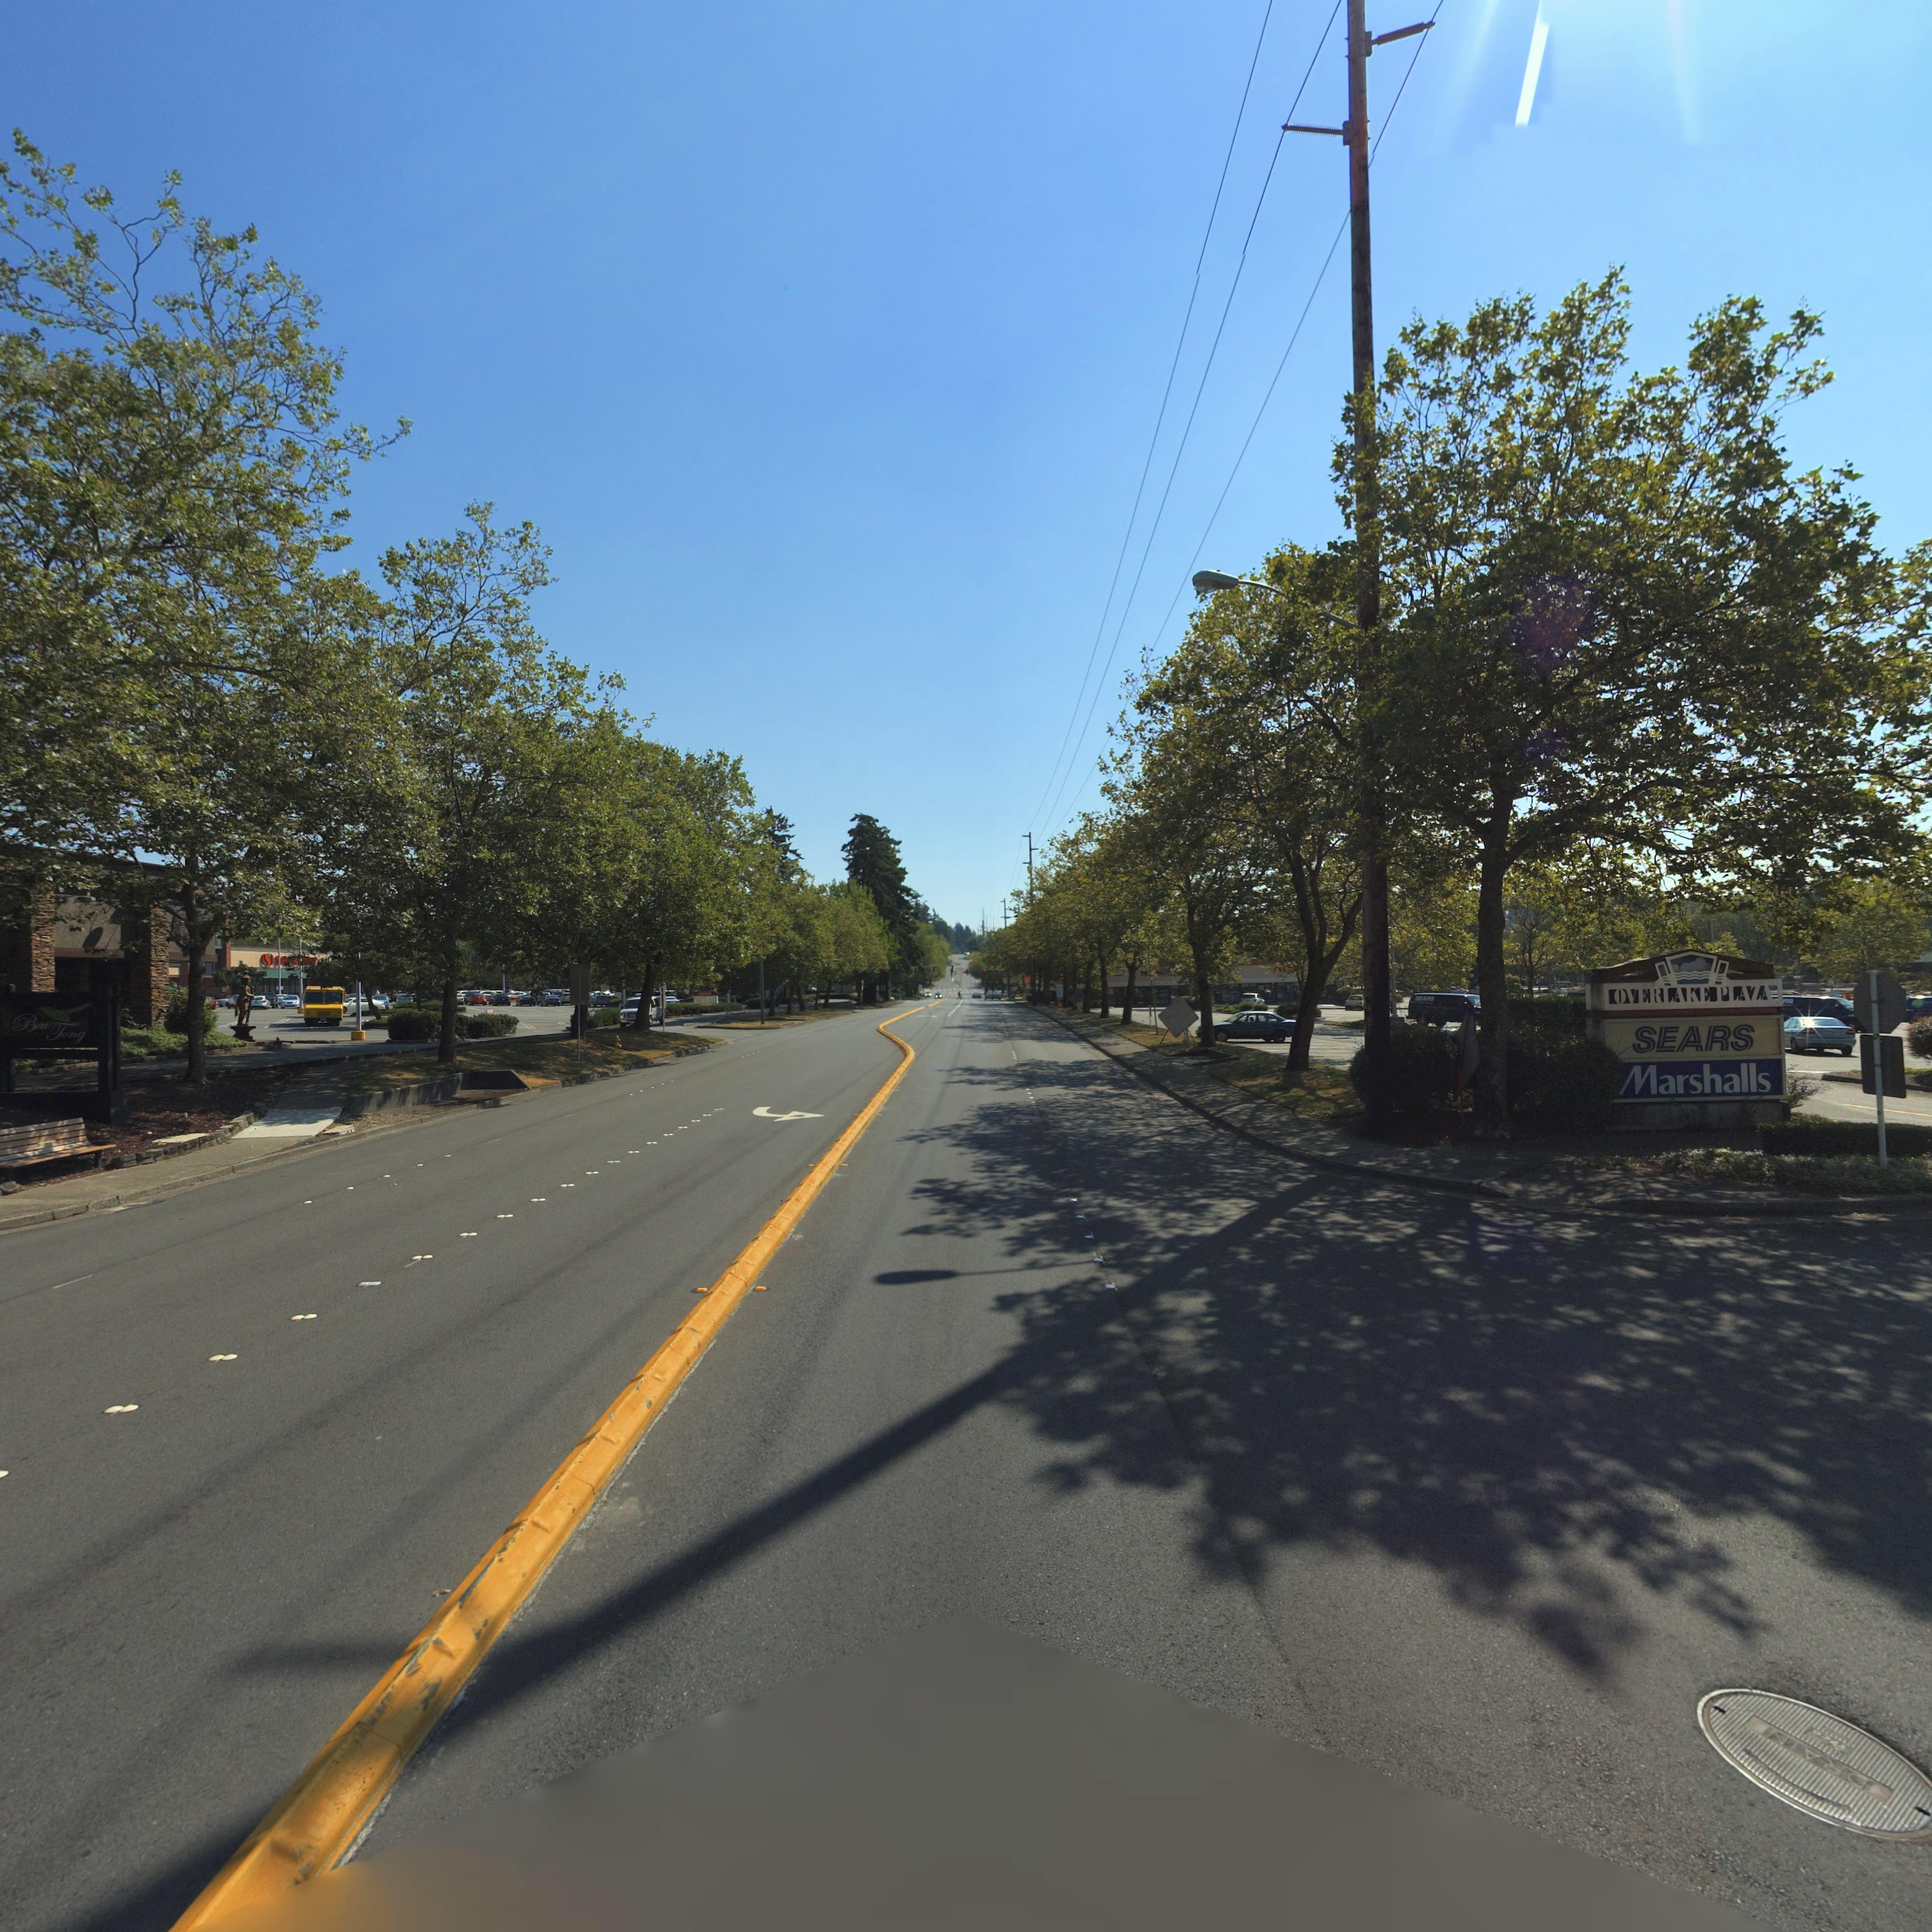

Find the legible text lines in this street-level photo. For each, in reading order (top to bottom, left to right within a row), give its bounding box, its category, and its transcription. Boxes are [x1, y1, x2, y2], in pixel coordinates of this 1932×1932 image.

[1614, 985, 1774, 1004] BusinessName: OVERLAKE PLAZA
[1632, 1024, 1755, 1053] BusinessName: SEARS
[1619, 1063, 1771, 1094] BusinessName: Marshalls